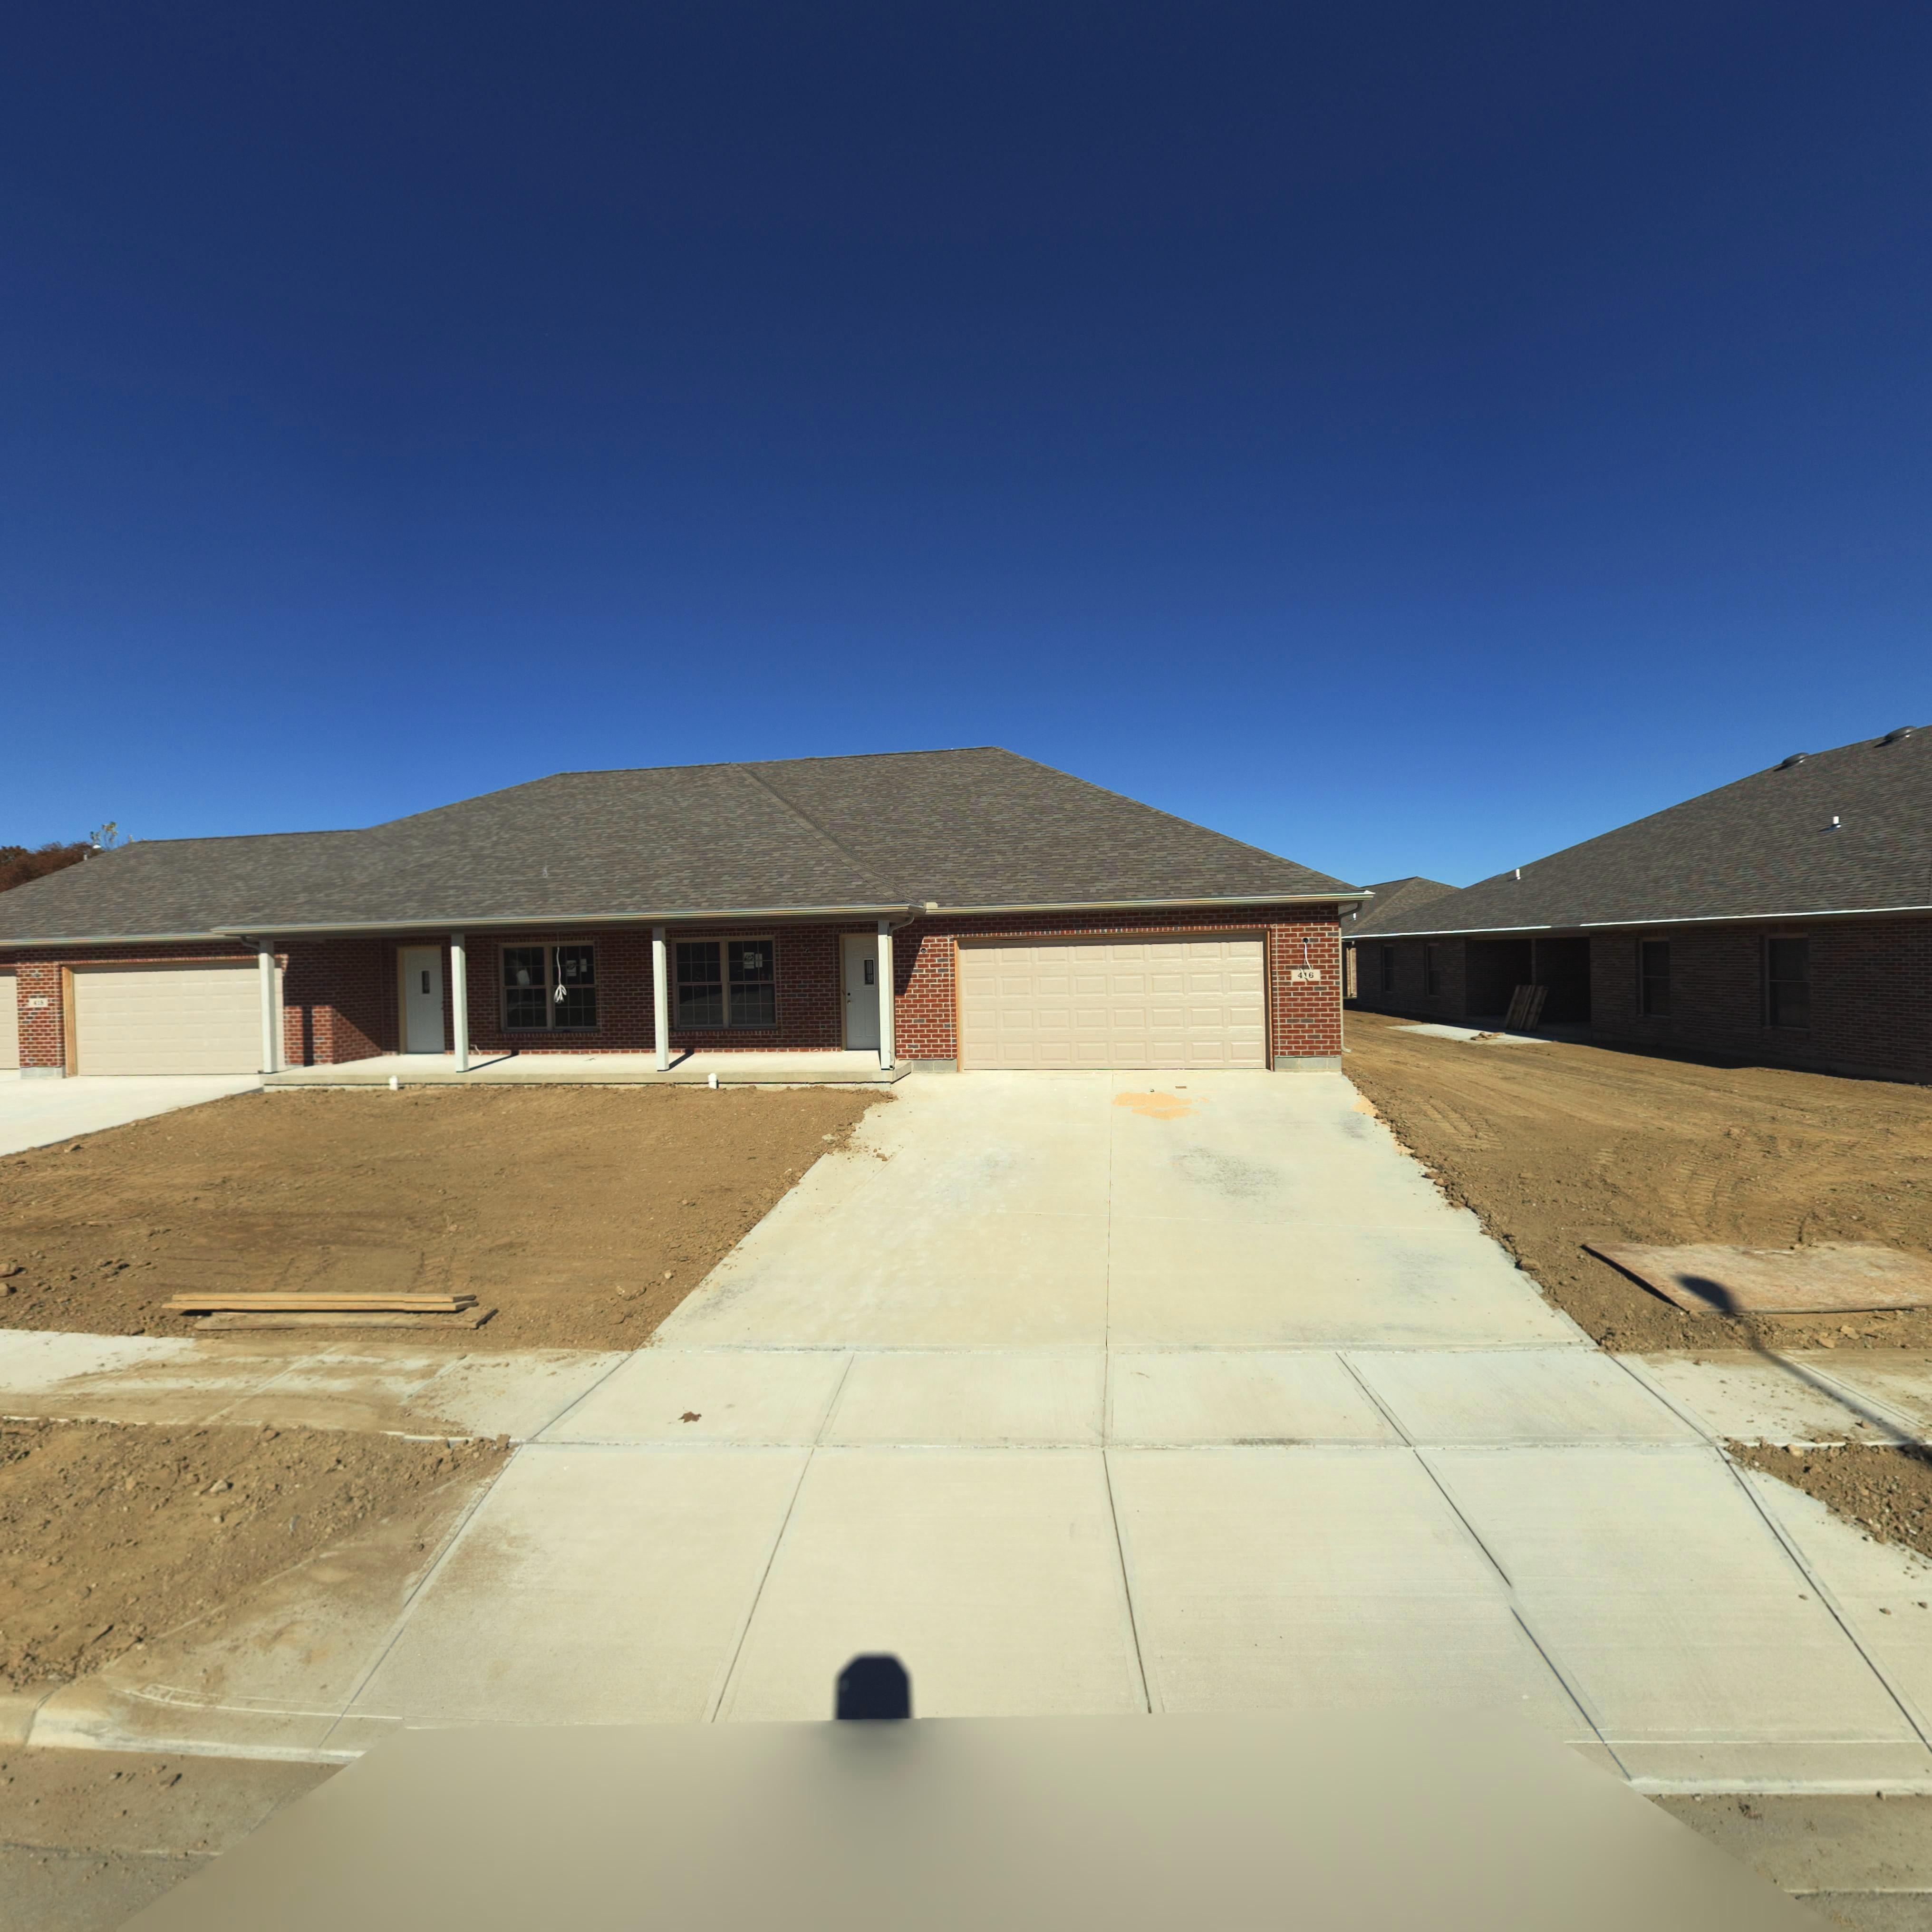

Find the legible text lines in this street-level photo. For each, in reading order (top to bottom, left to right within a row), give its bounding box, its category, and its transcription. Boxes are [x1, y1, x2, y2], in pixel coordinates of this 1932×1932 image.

[1297, 971, 1315, 979] StreetNumber: 4*6
[32, 999, 45, 1006] StreetNumber: 418